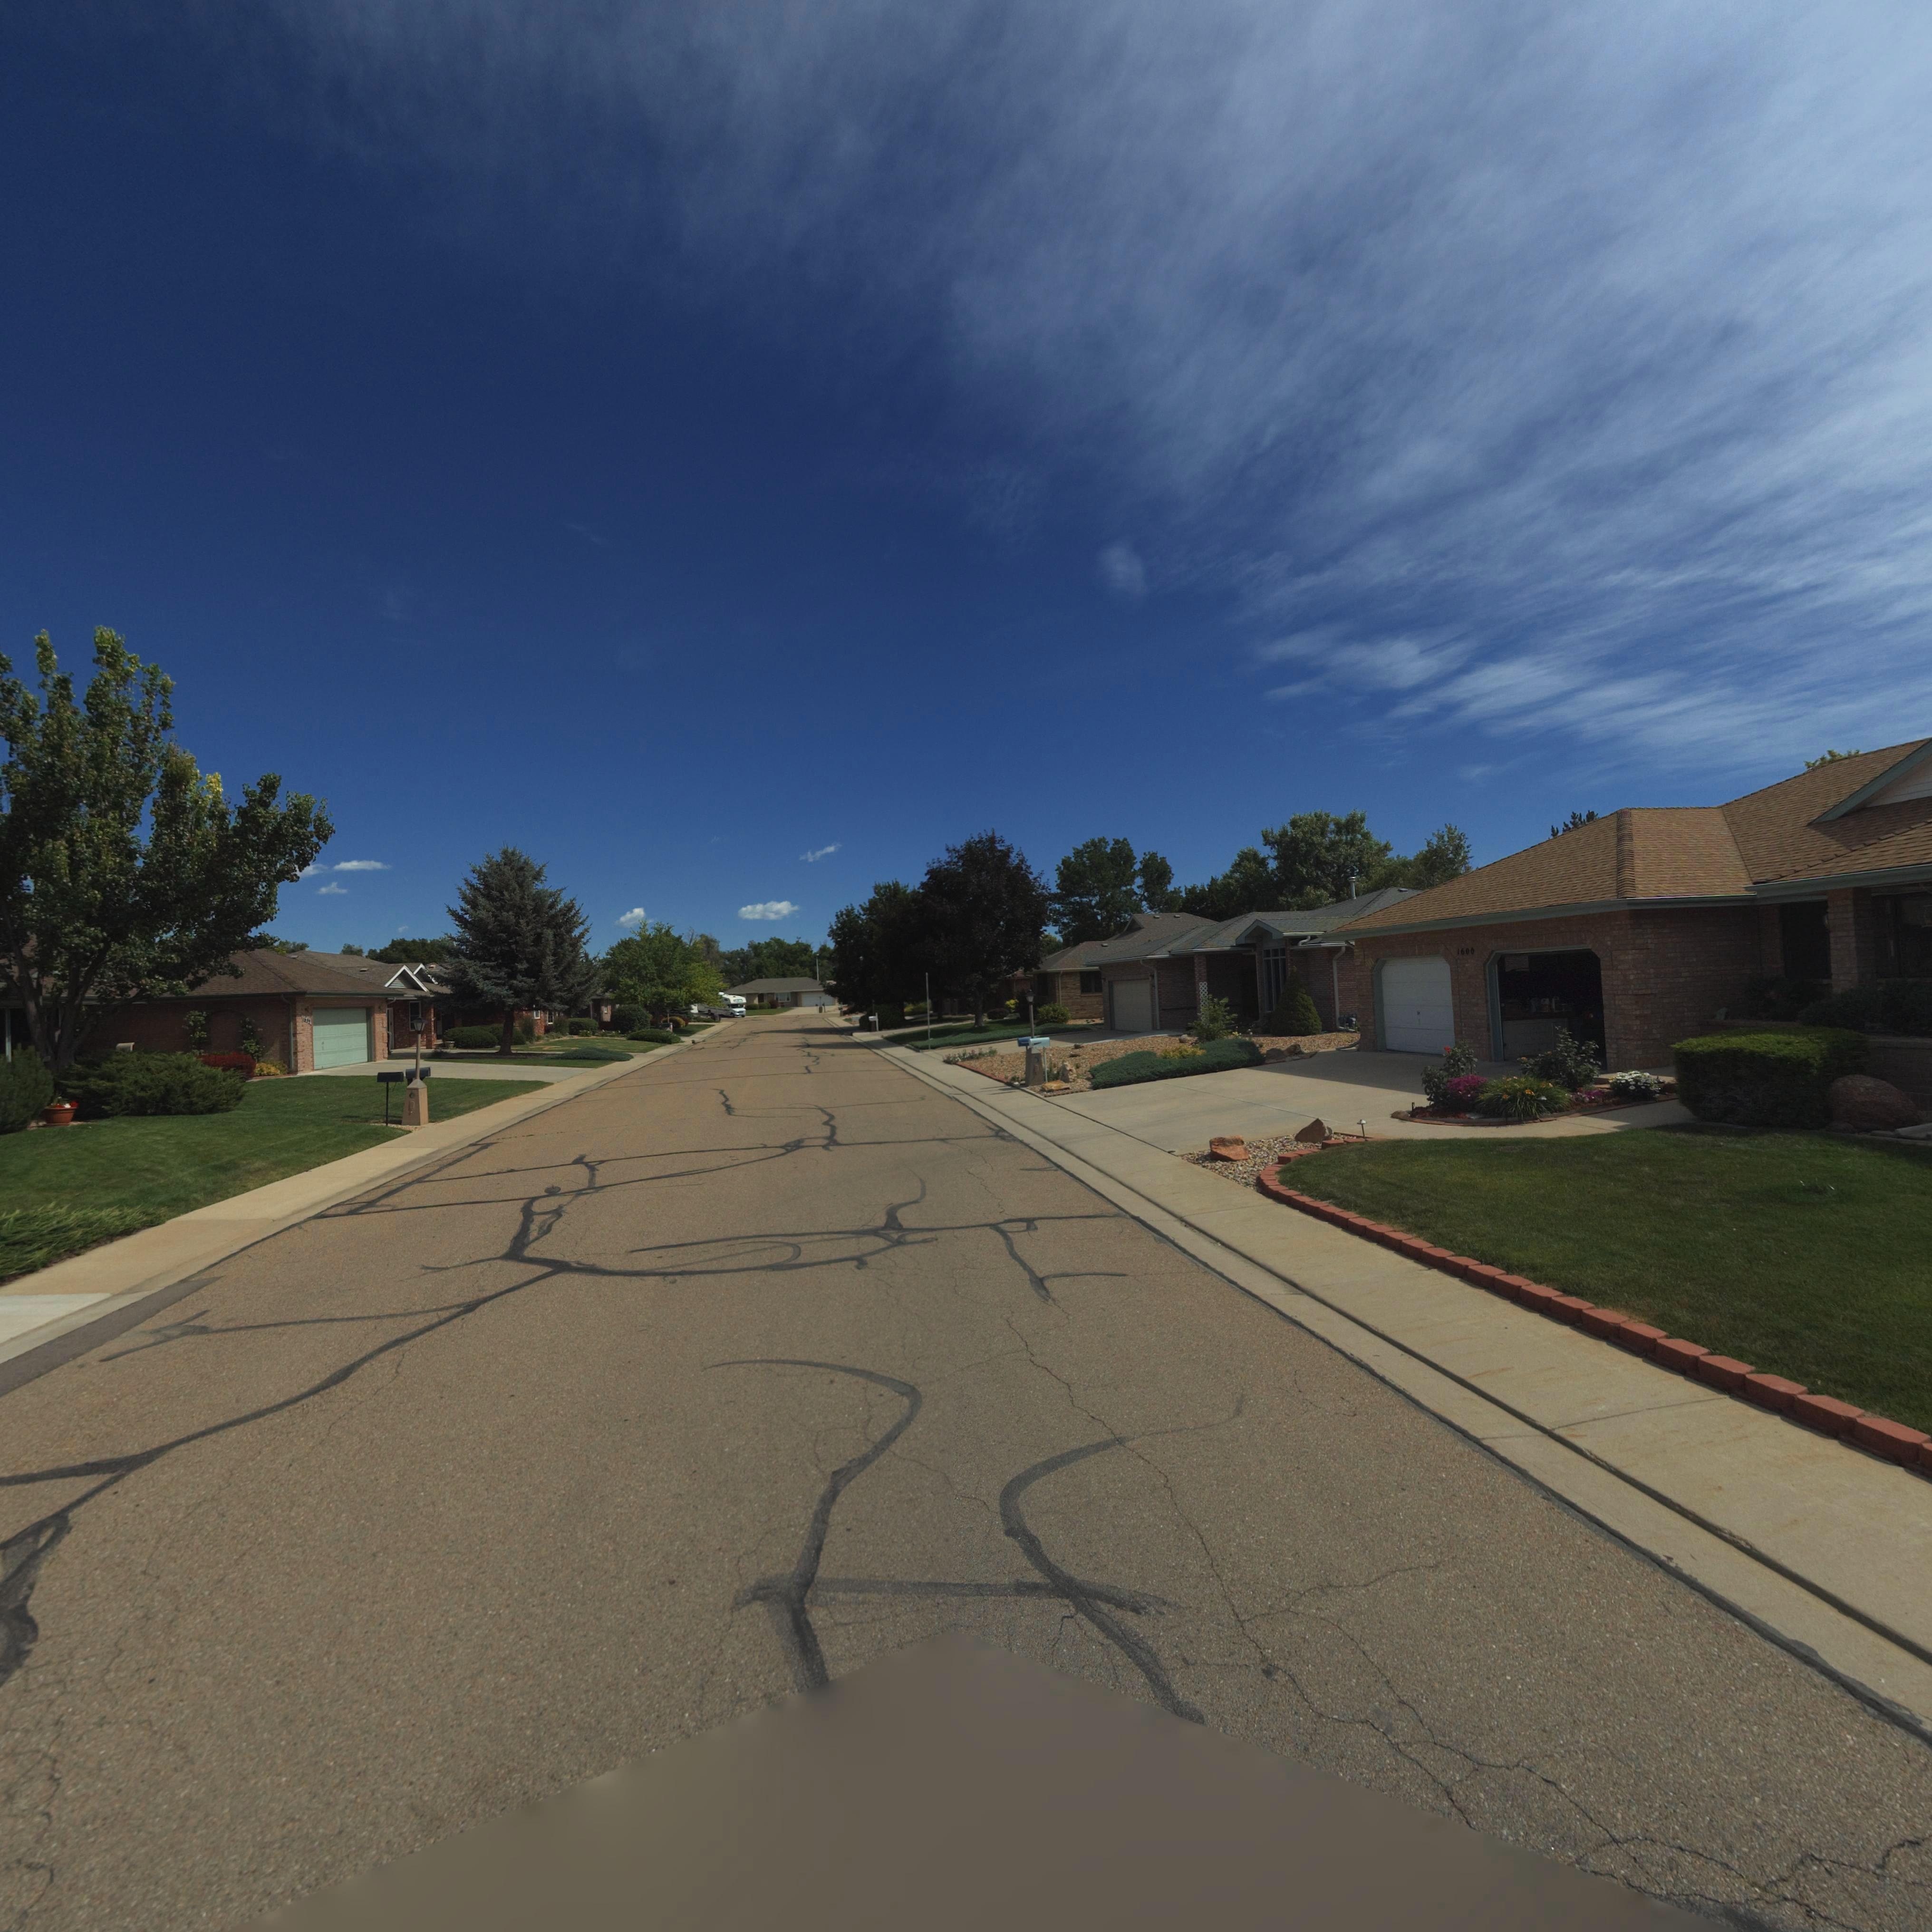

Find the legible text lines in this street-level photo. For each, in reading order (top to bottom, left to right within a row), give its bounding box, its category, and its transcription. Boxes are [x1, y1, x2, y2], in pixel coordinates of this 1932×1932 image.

[1457, 947, 1475, 956] StreetNumber: 1600